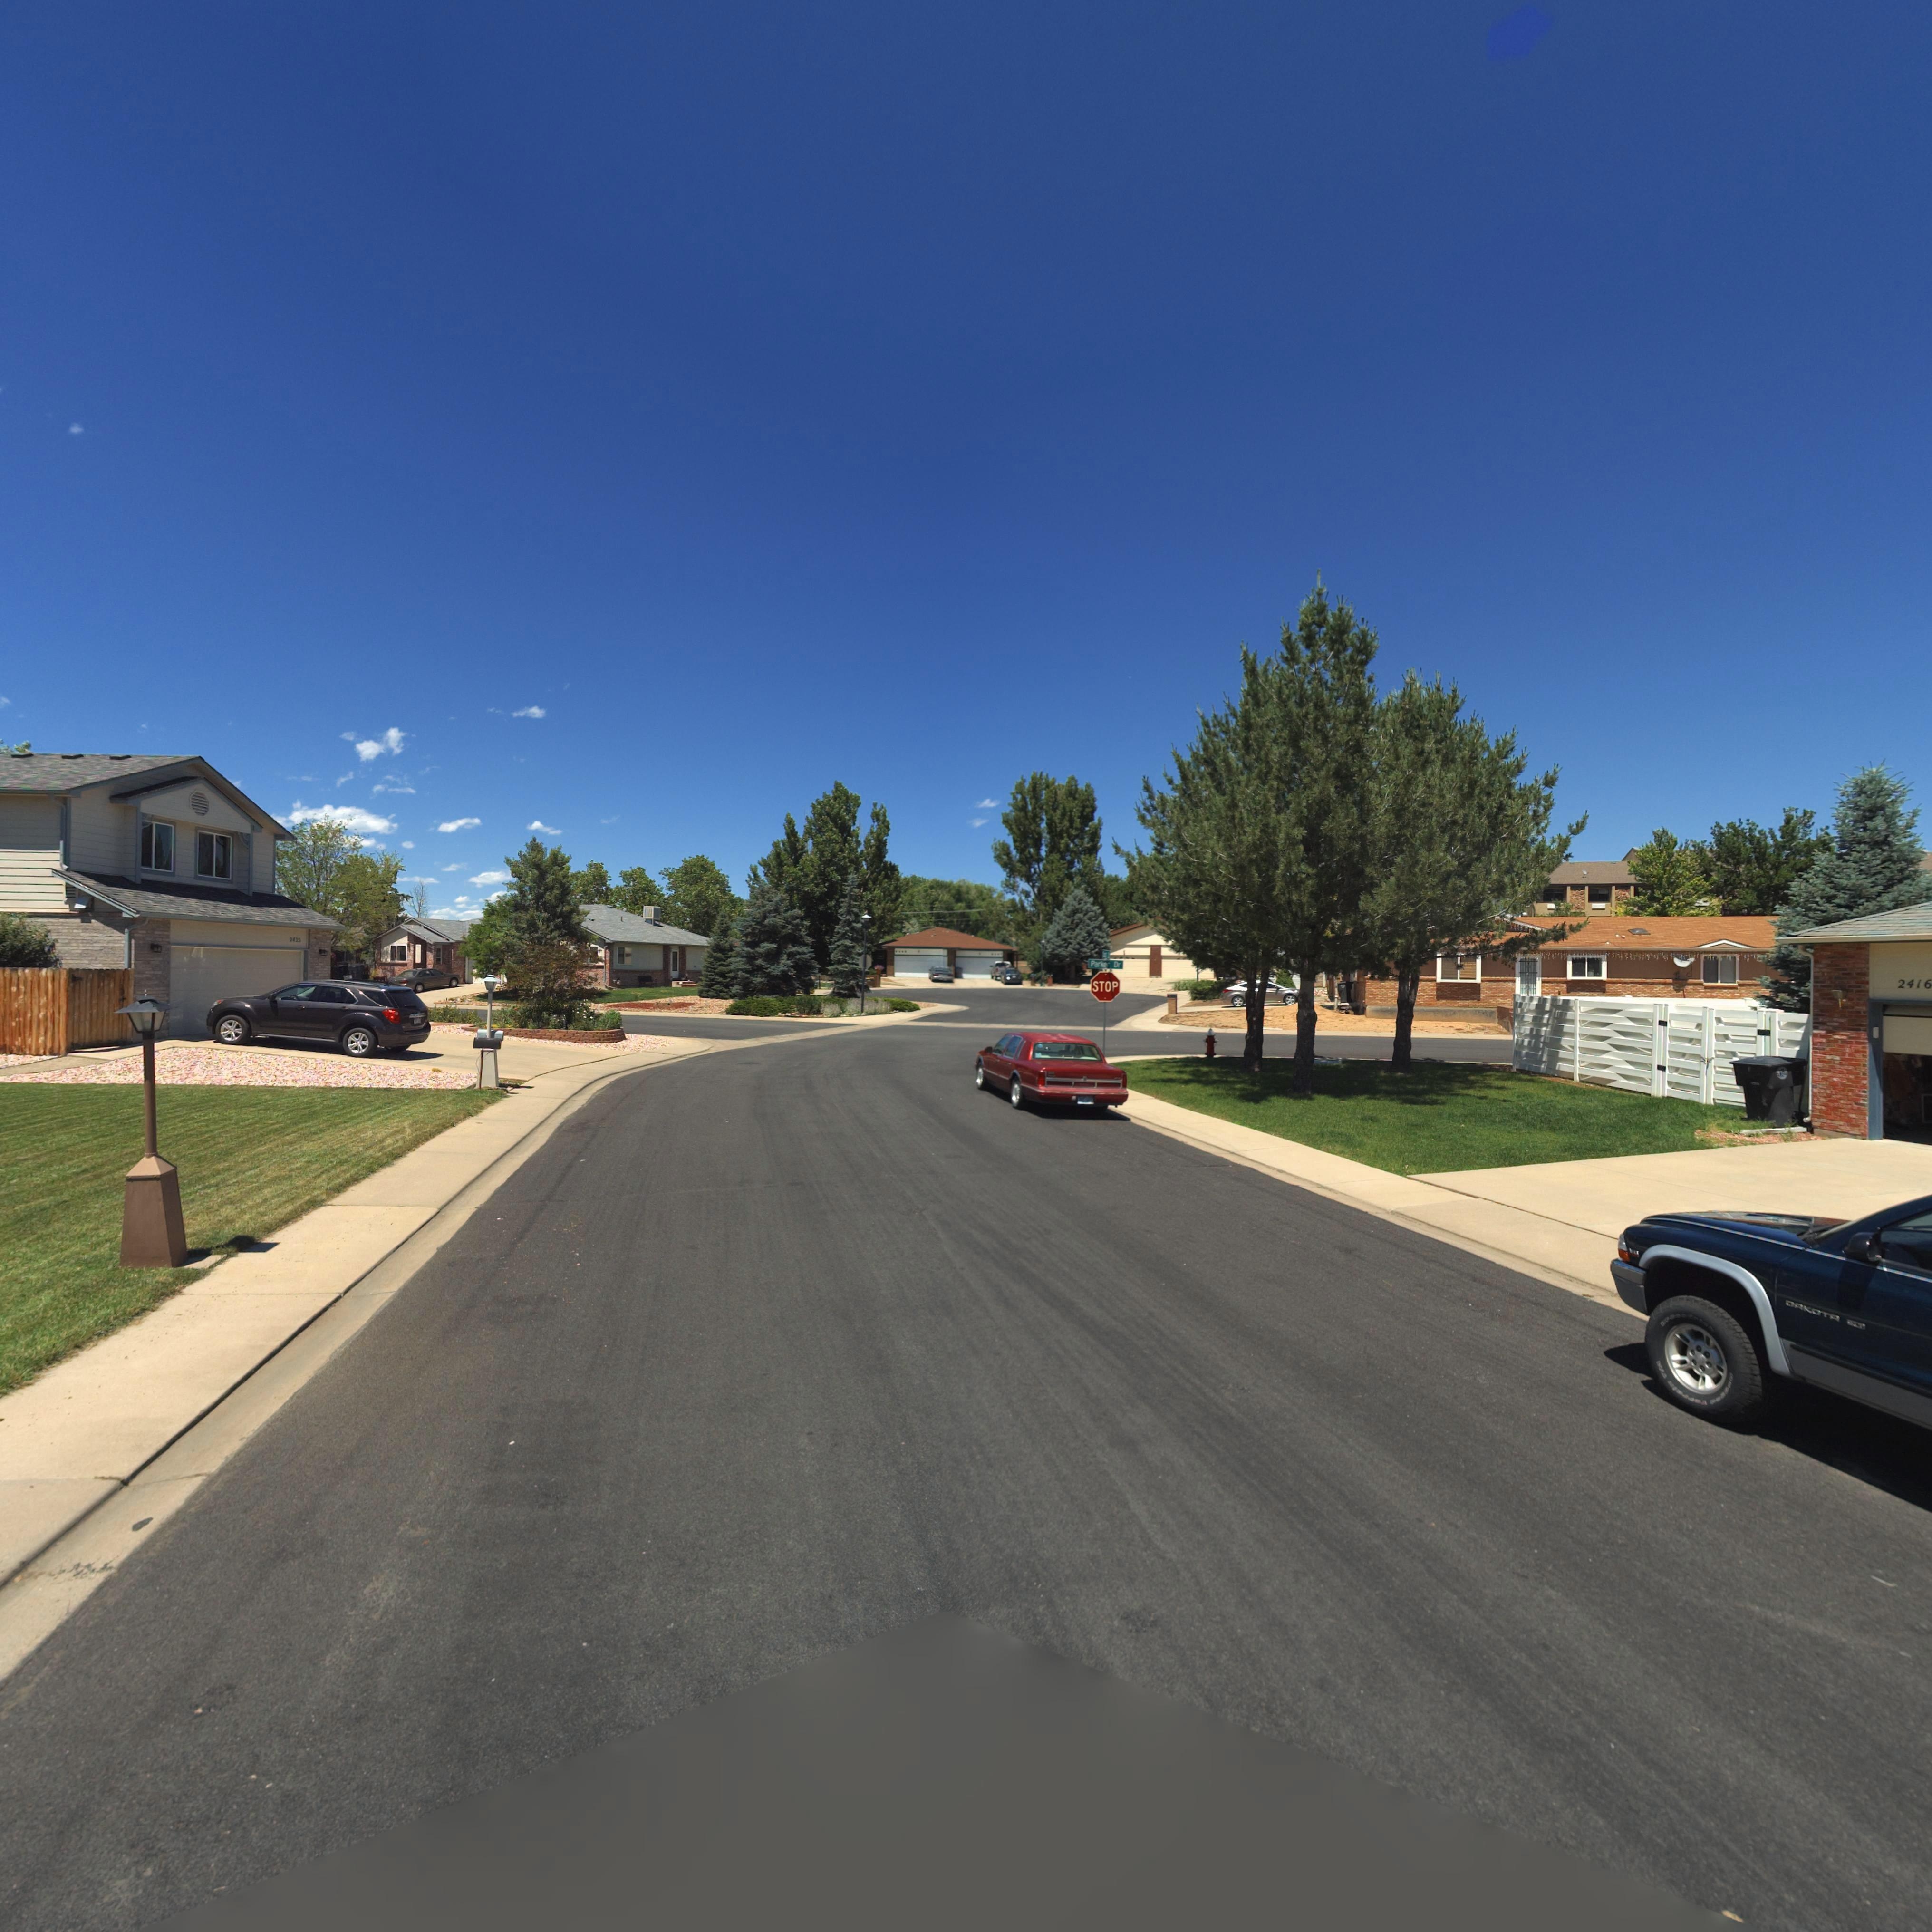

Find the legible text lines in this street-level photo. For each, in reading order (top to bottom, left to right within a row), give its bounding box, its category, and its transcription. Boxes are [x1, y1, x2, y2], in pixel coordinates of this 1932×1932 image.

[290, 937, 301, 942] StreetNumber: *425
[1090, 960, 1121, 967] StreetName: Parker Dr
[1897, 979, 1932, 989] StreetNumber: 2416